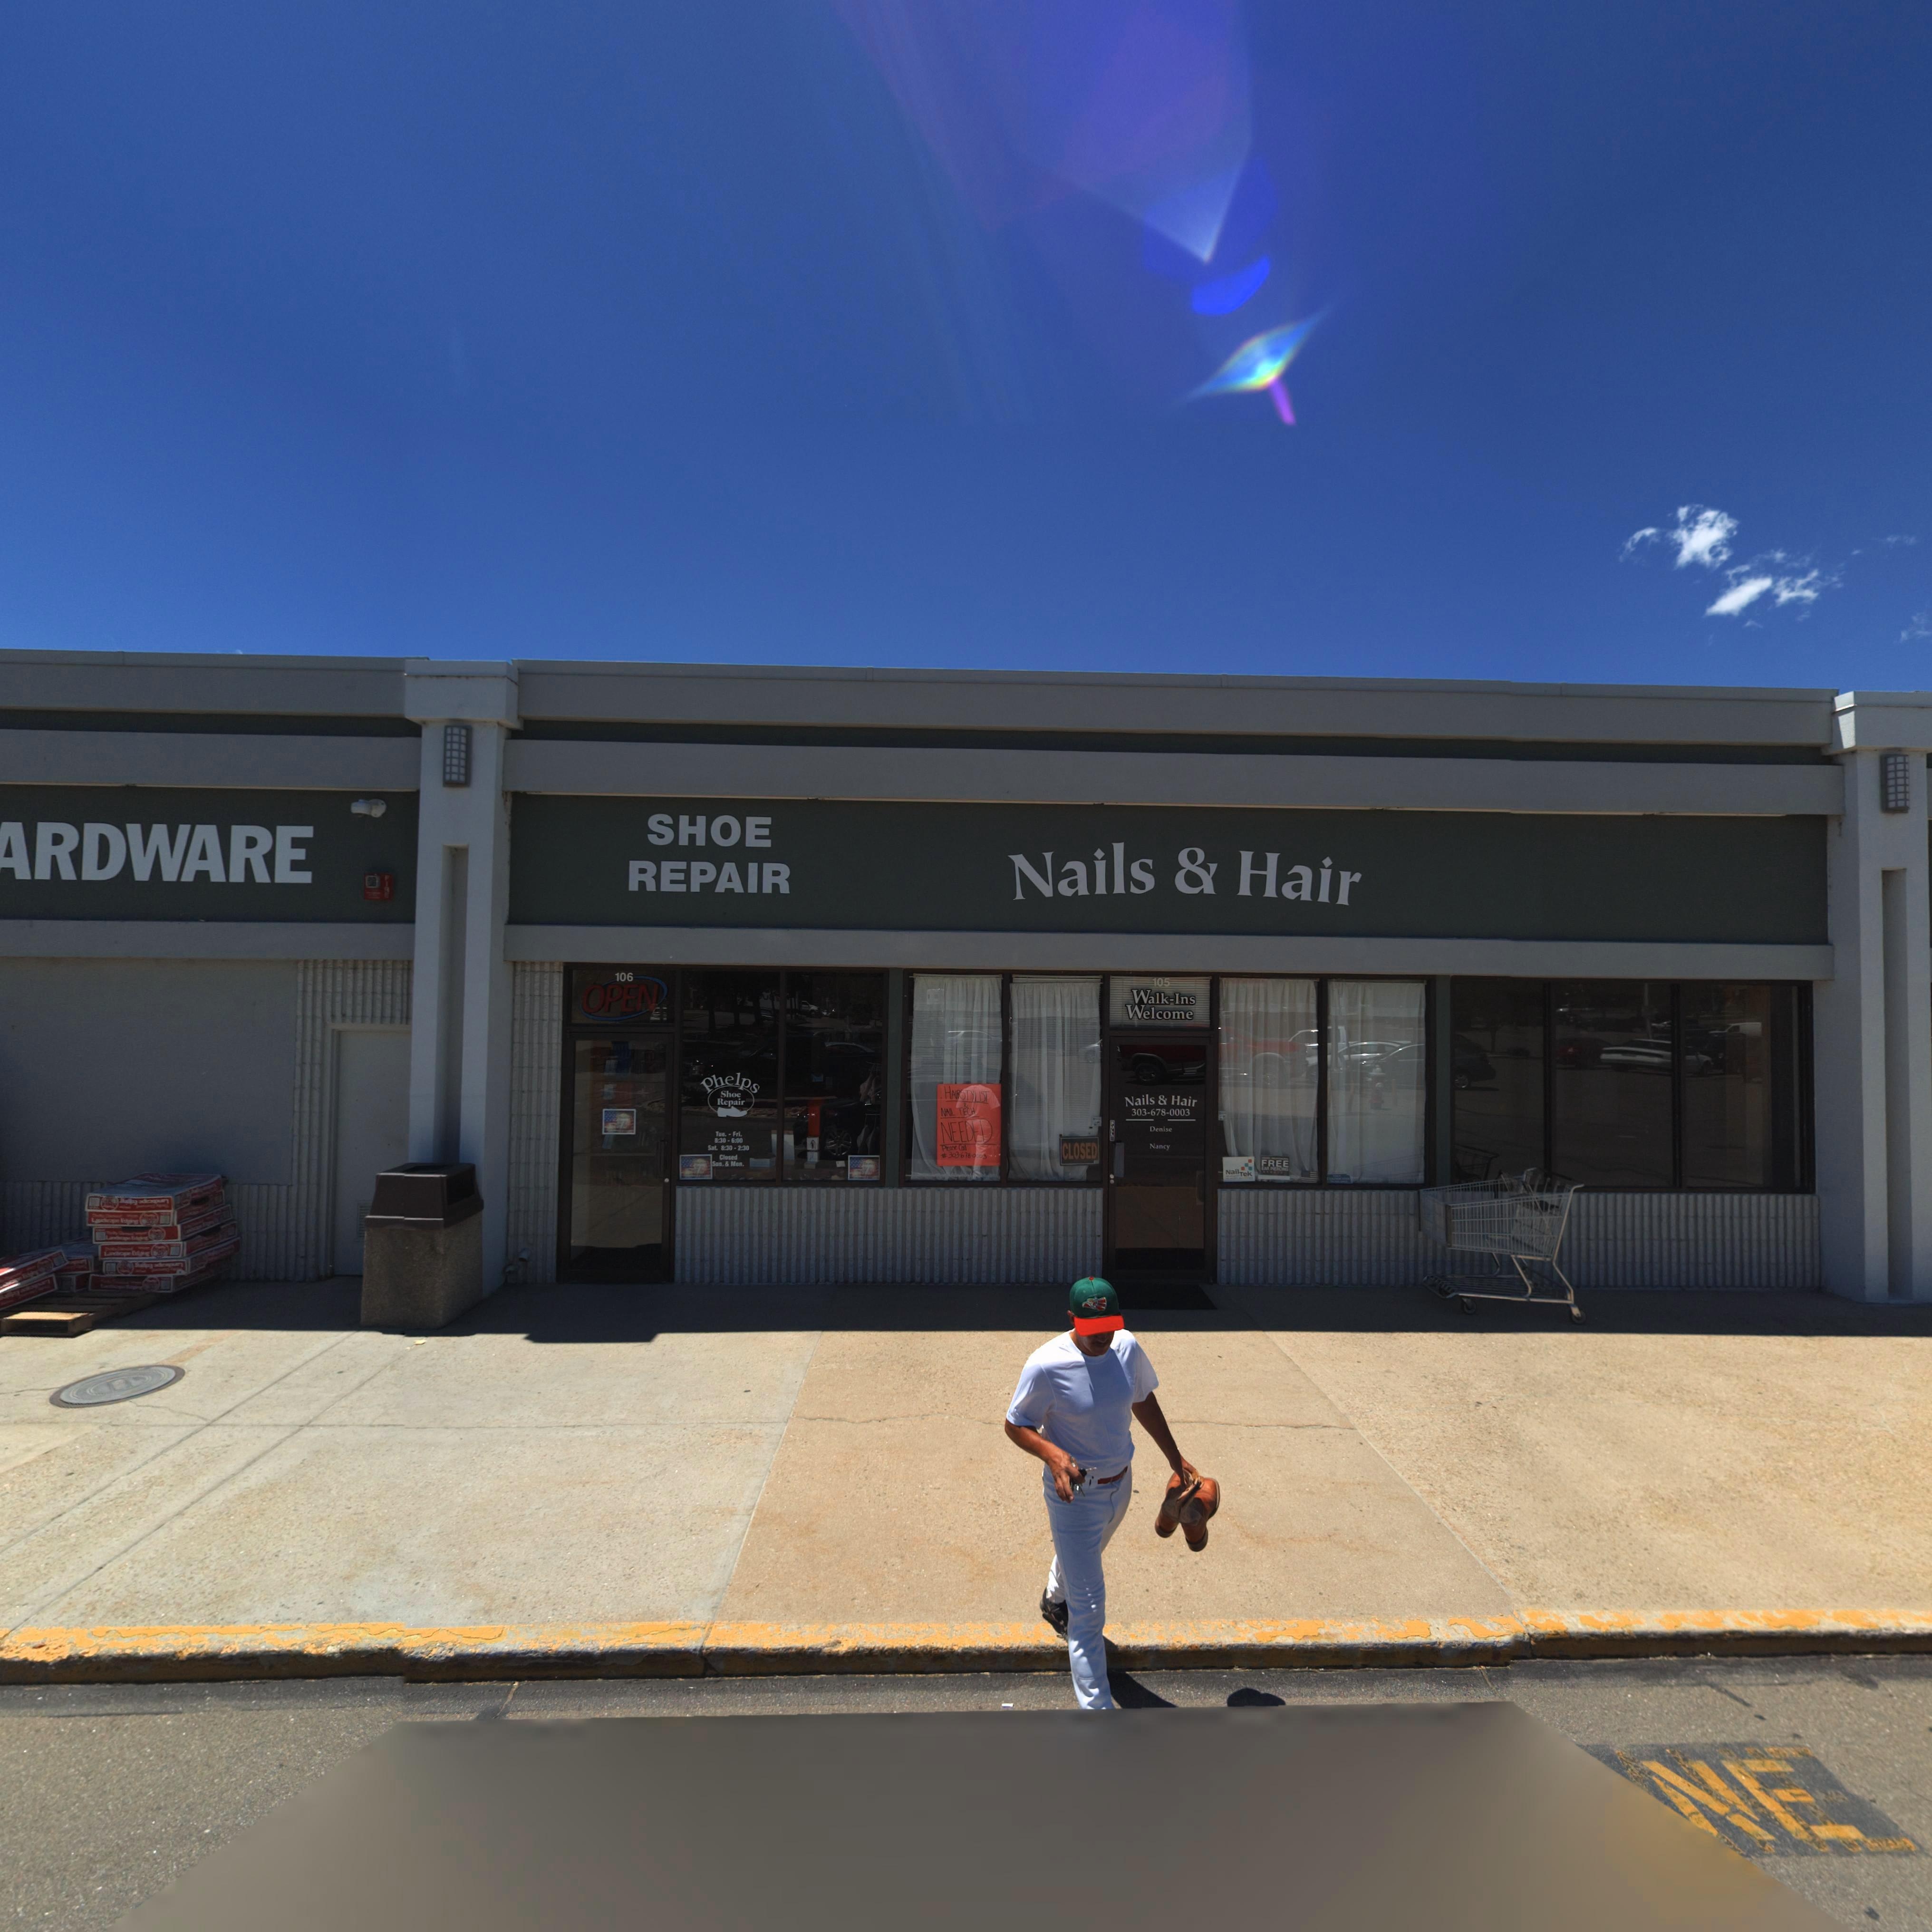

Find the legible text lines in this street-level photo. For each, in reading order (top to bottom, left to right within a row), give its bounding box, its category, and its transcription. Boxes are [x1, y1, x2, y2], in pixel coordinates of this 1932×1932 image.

[1007, 841, 1362, 906] BusinessName: Nail & Hair
[614, 972, 634, 982] StreetNumber: 106
[1152, 977, 1170, 987] StreetNumber: 105
[699, 1072, 760, 1094] BusinessName: Phelps
[720, 1090, 741, 1098] BusinessName: Shoe
[717, 1098, 745, 1107] BusinessName: Repair
[1124, 1094, 1197, 1107] BusinessName: Nails & Hair